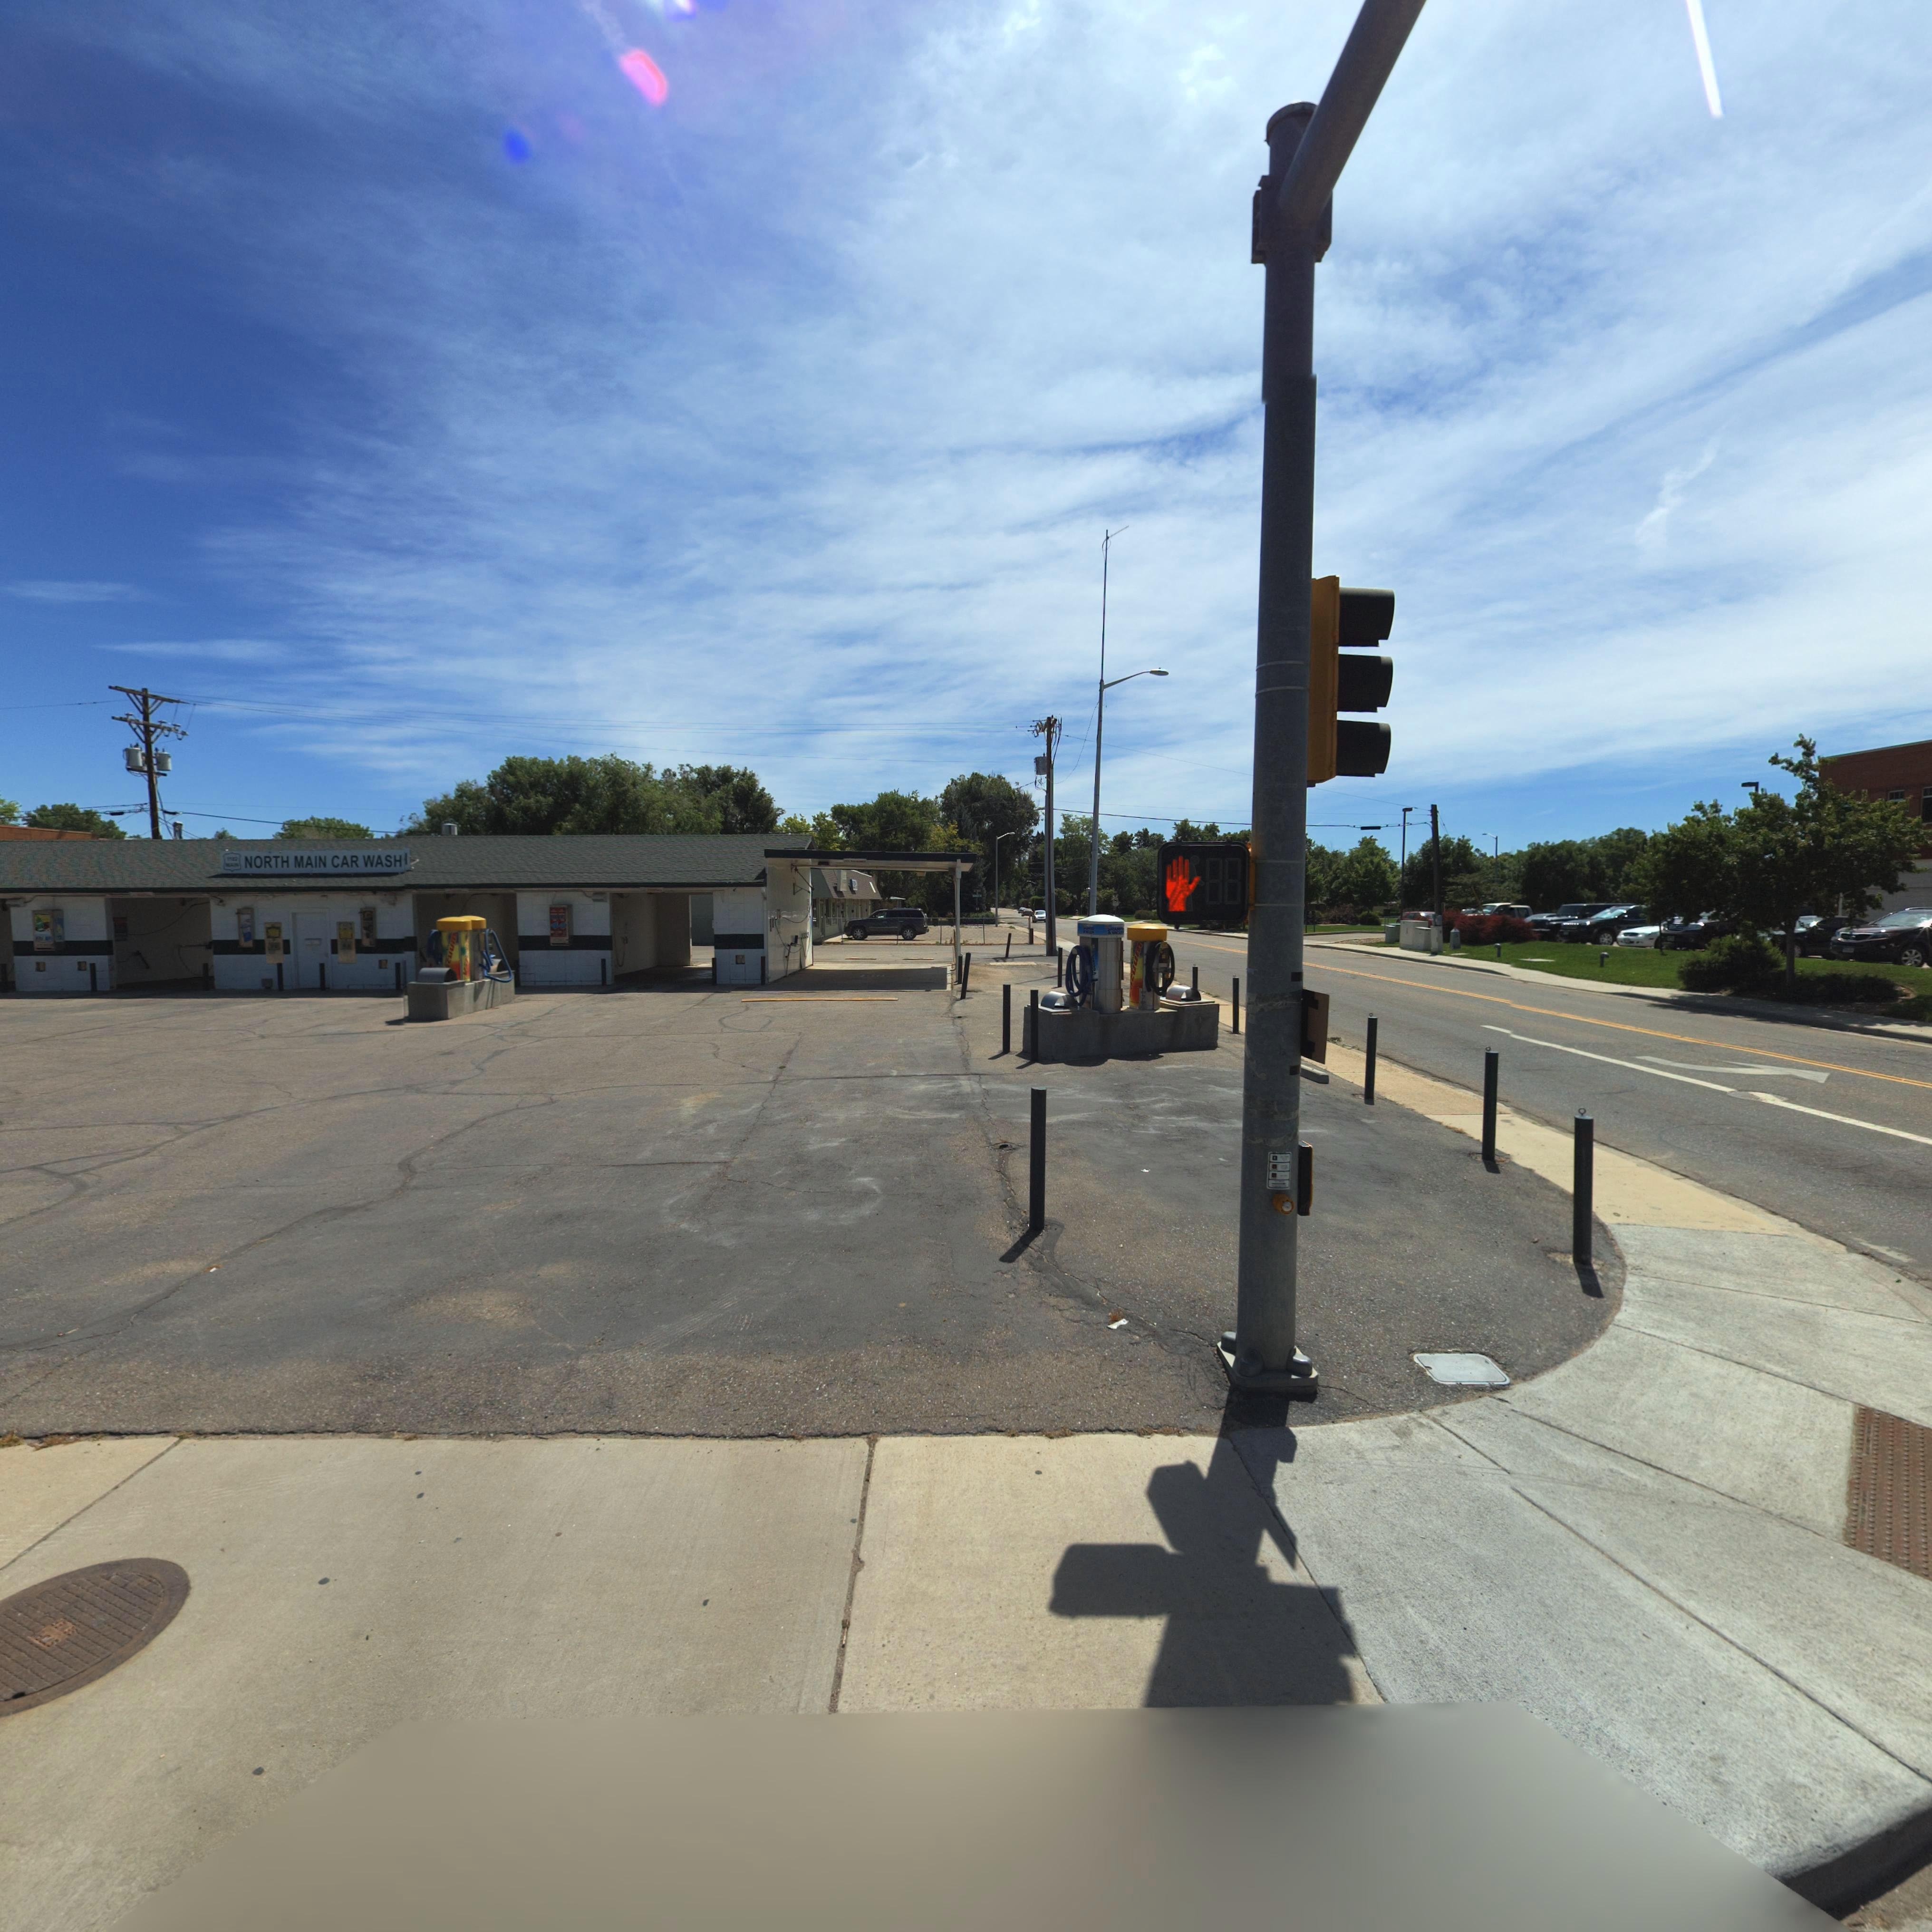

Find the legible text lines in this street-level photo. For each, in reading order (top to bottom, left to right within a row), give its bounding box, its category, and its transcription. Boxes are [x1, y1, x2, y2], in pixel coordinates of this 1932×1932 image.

[244, 854, 403, 869] BusinessName: NORTH MAIN CAR WASH